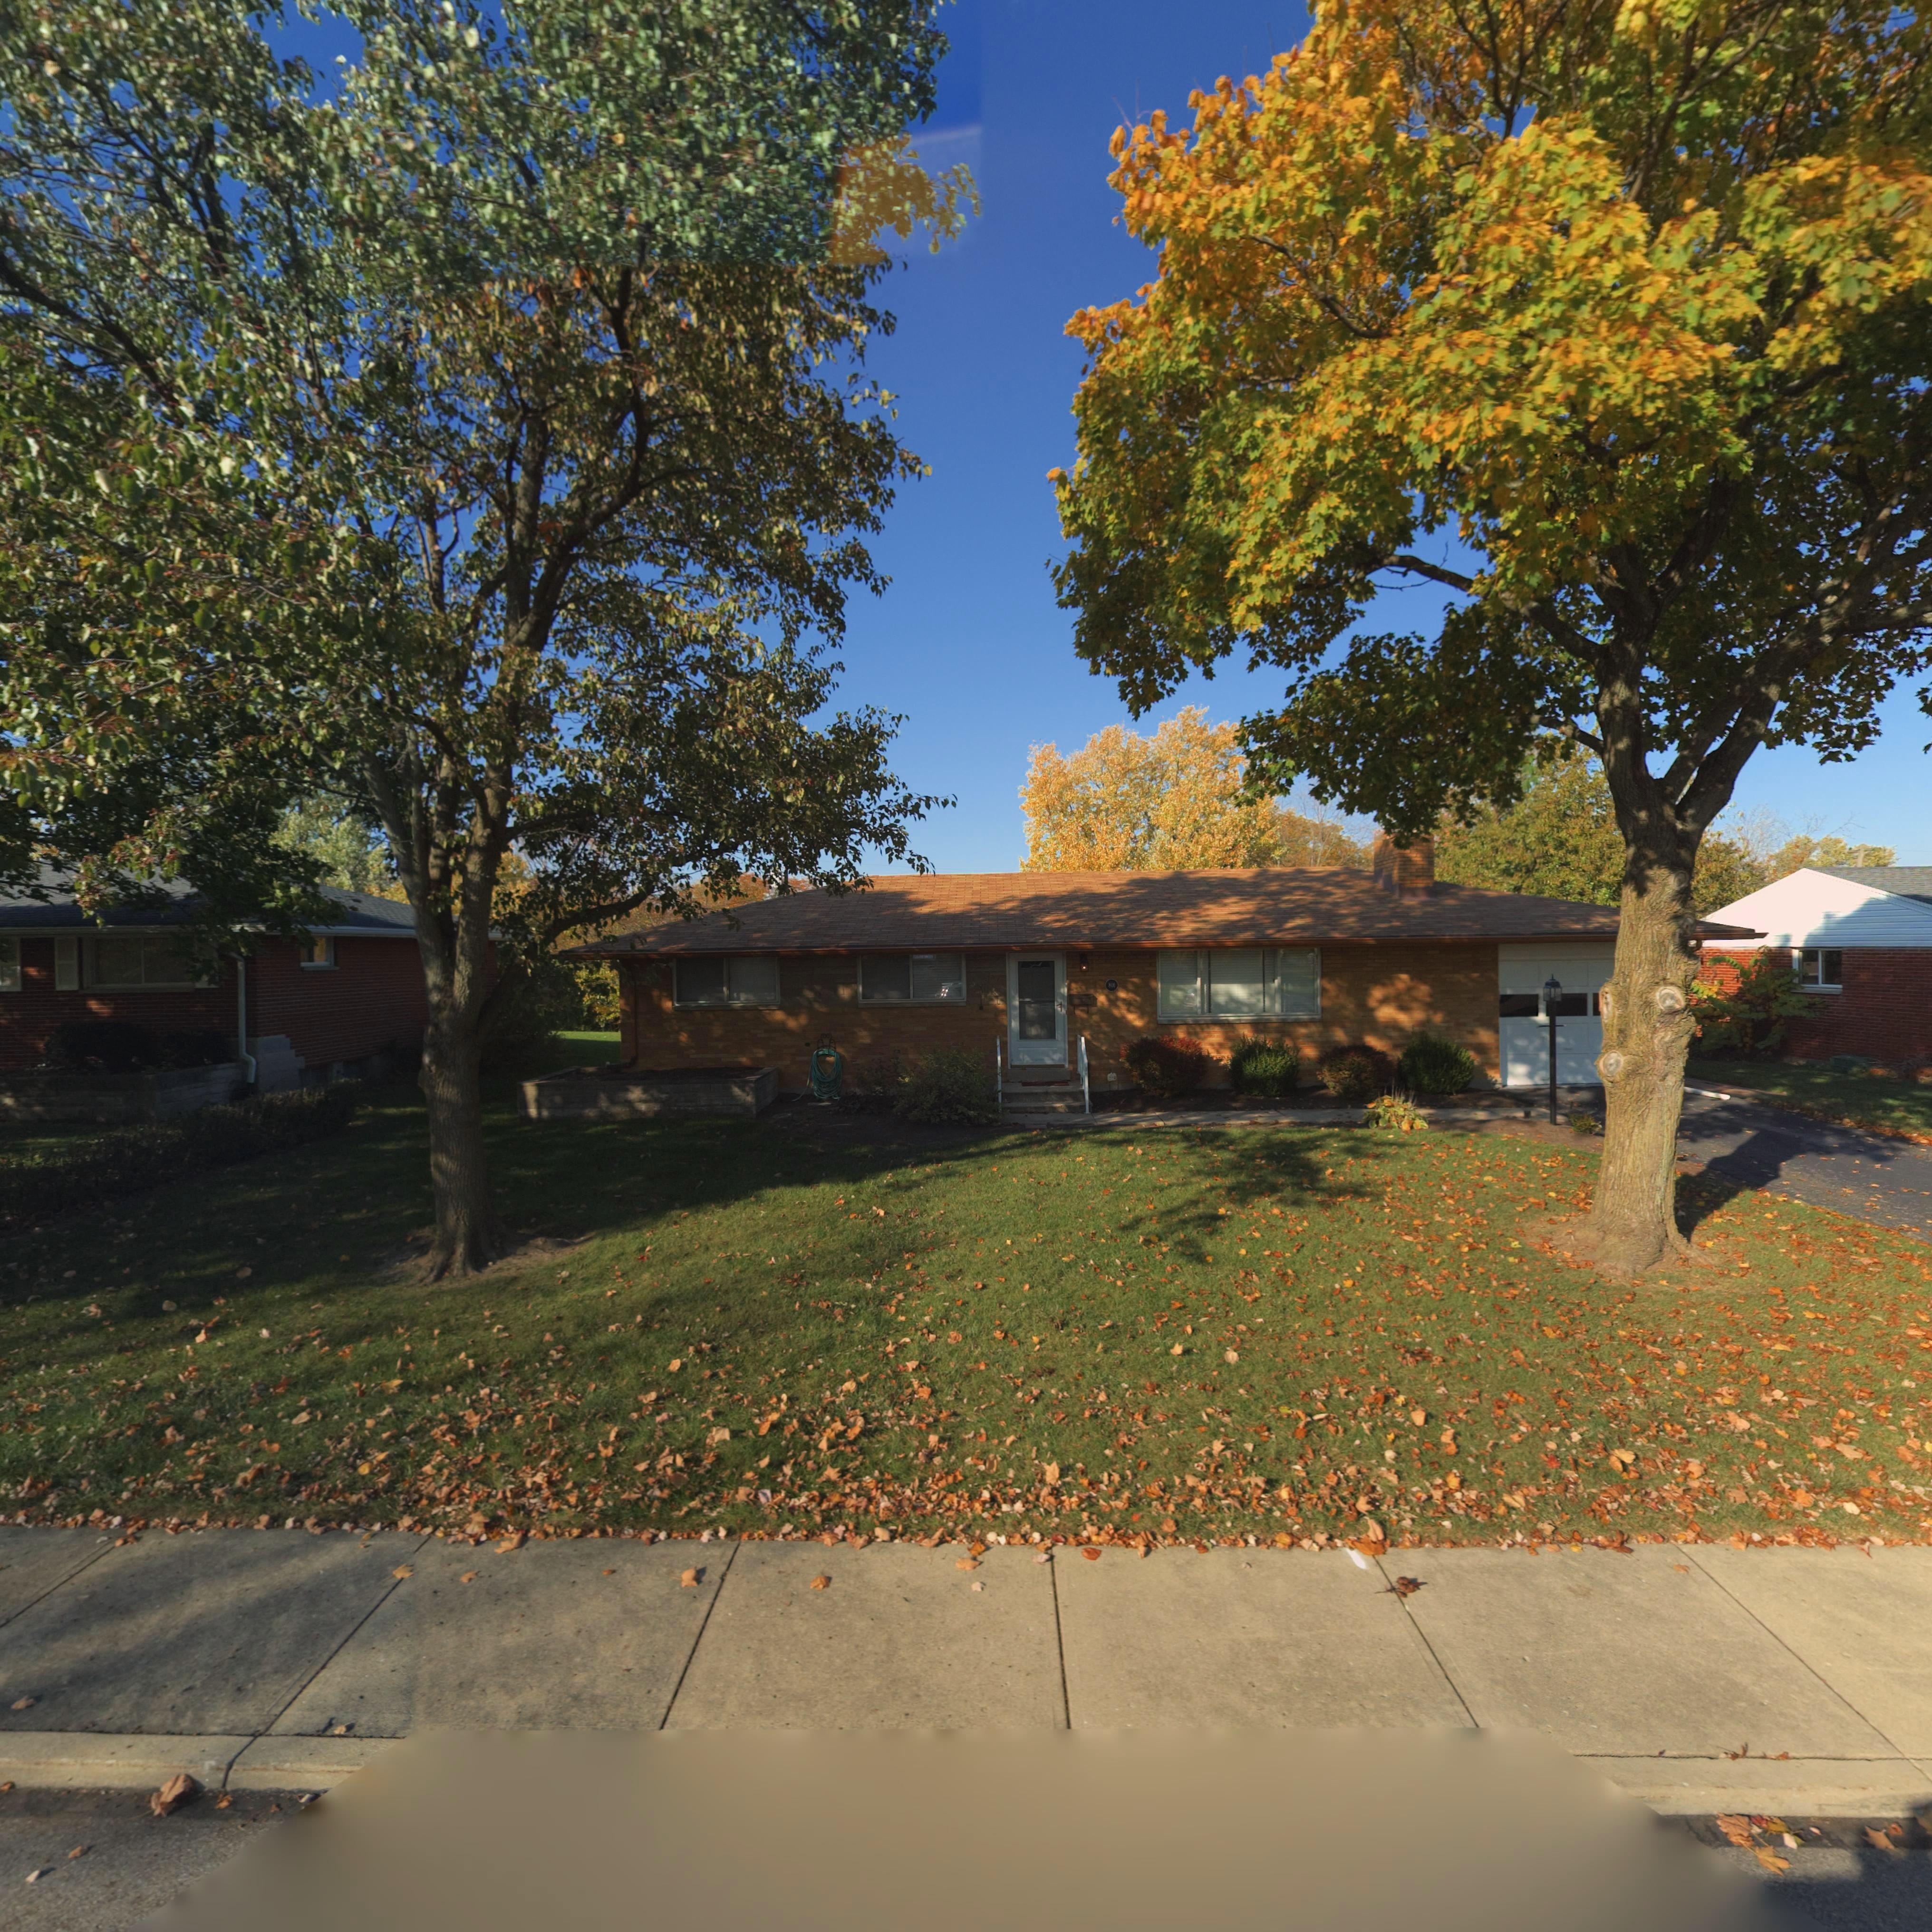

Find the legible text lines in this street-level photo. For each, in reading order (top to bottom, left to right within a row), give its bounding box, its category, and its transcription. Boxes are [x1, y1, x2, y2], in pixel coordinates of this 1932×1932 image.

[1108, 982, 1116, 988] StreetNumber: 801